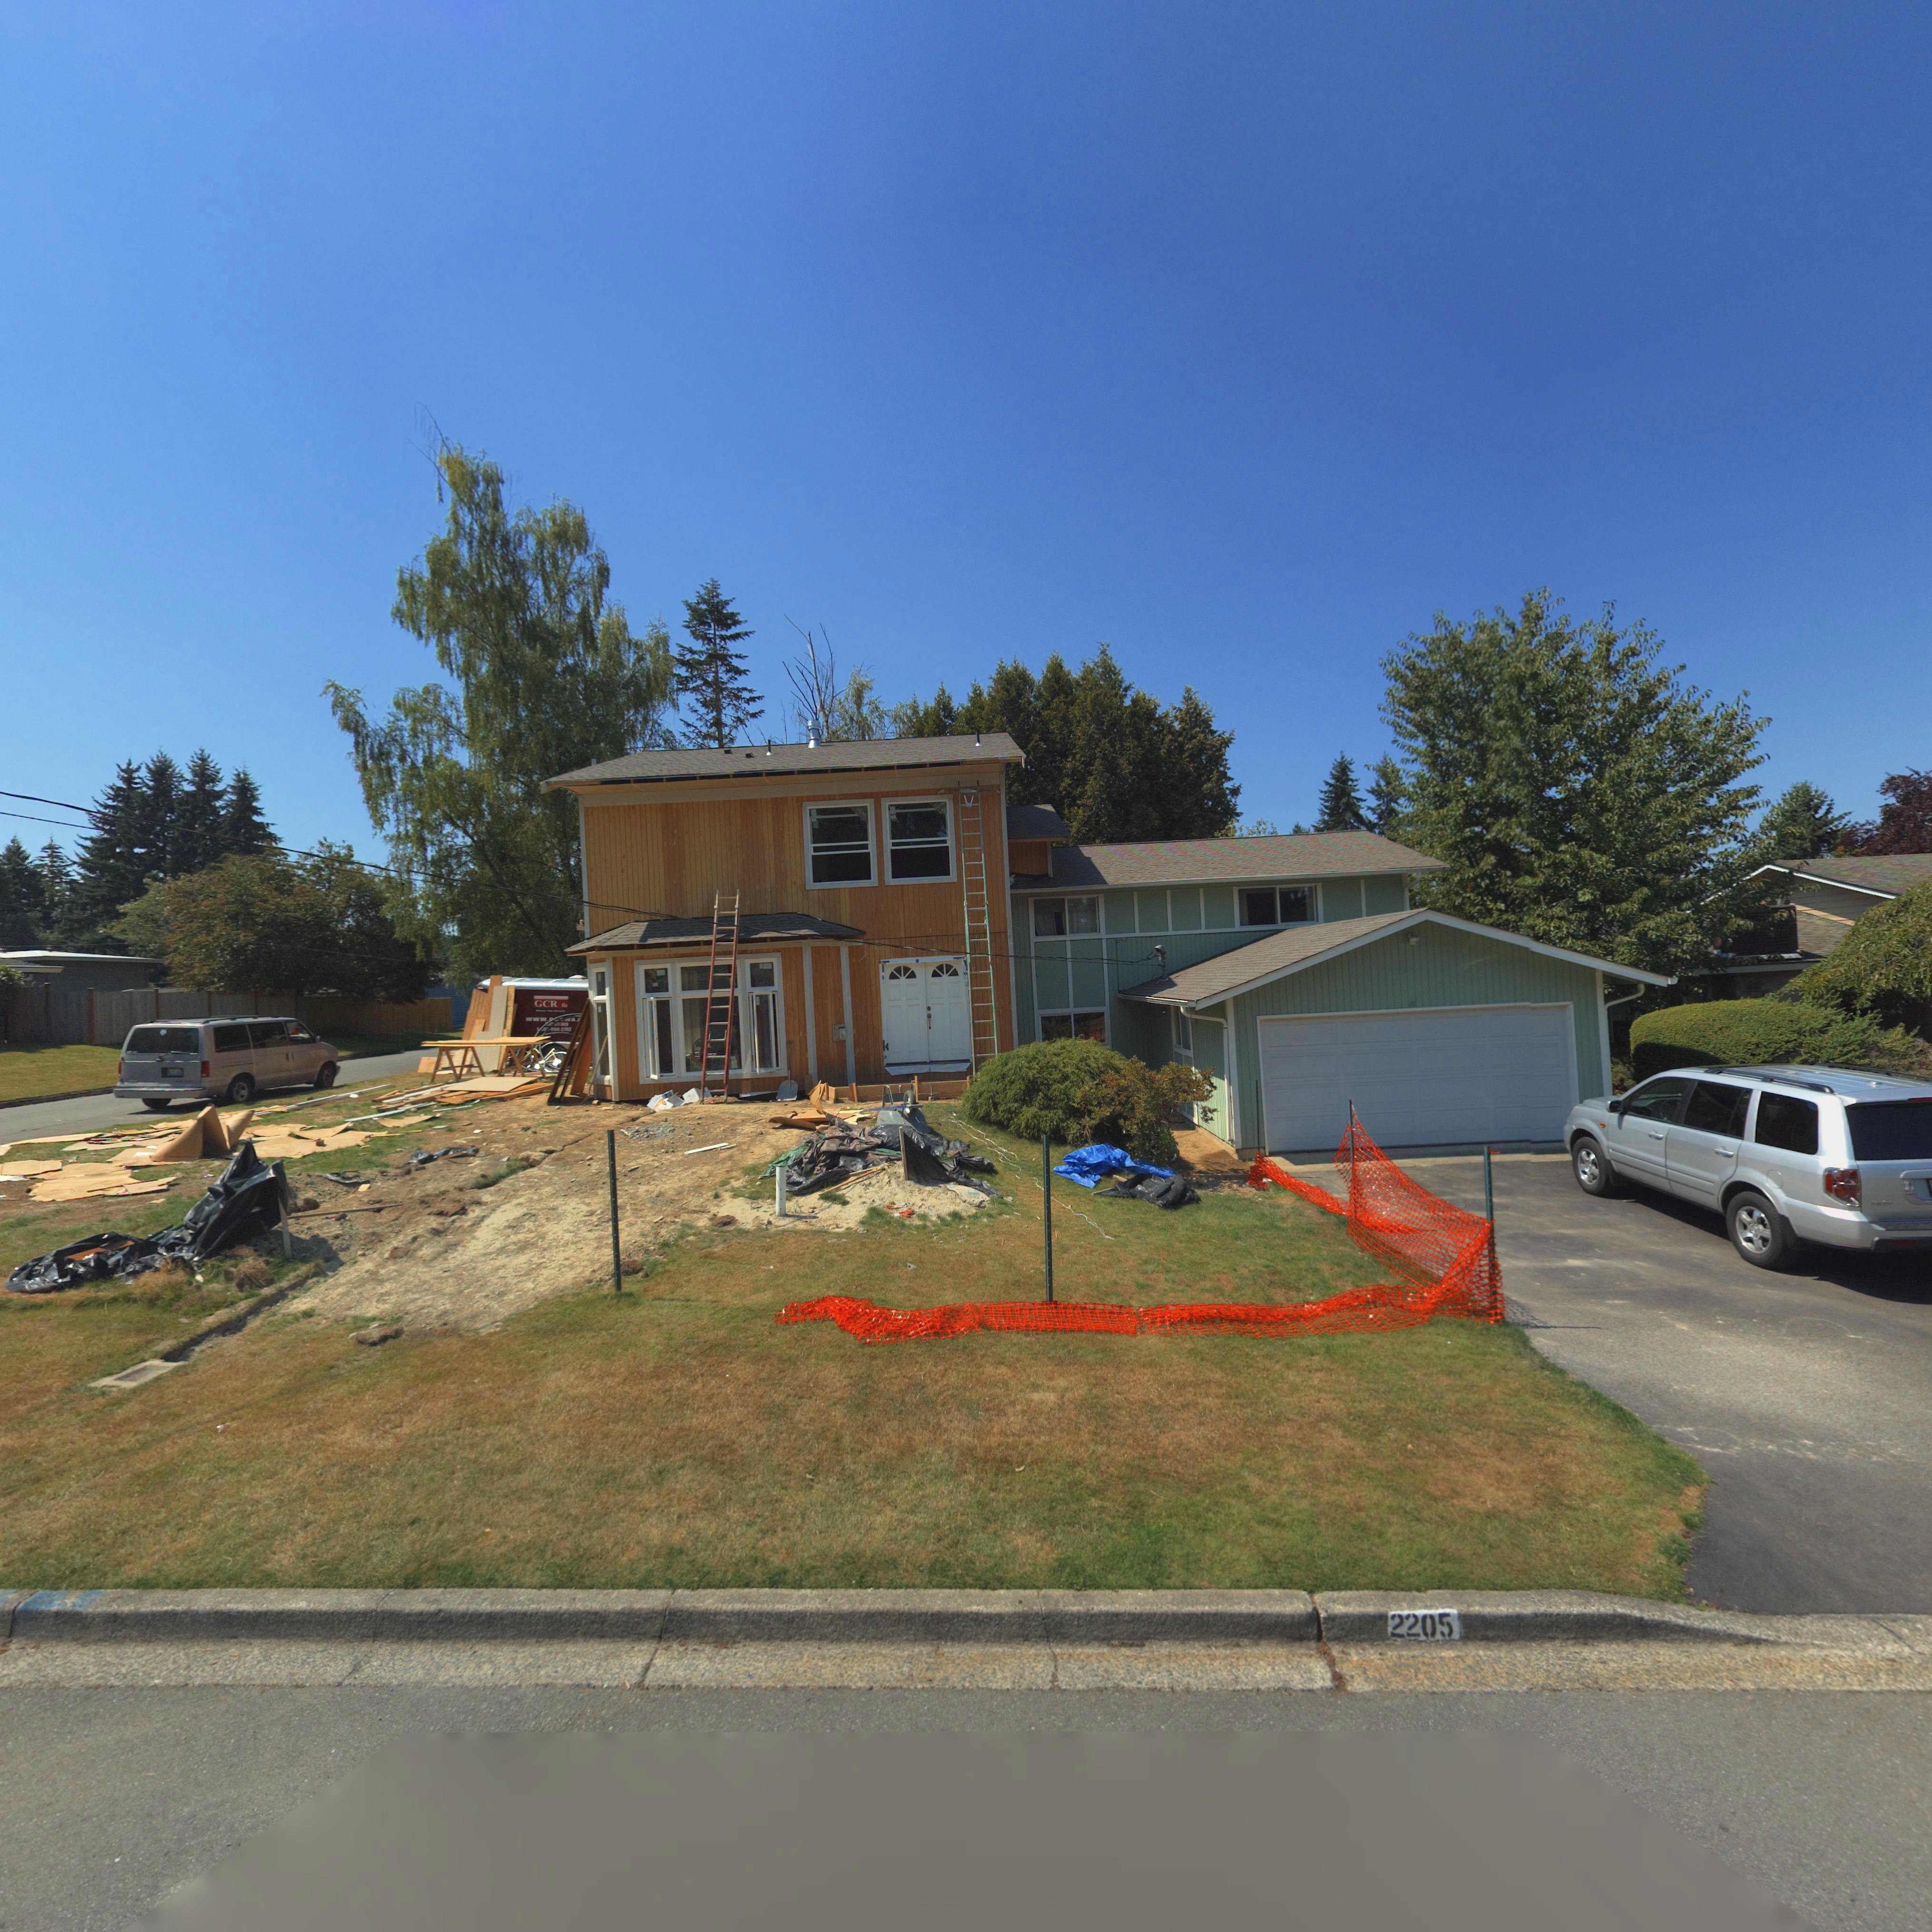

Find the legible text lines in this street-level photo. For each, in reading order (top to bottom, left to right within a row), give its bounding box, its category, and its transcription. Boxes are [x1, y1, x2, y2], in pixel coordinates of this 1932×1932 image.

[1389, 1610, 1455, 1639] StreetNumber: 2205